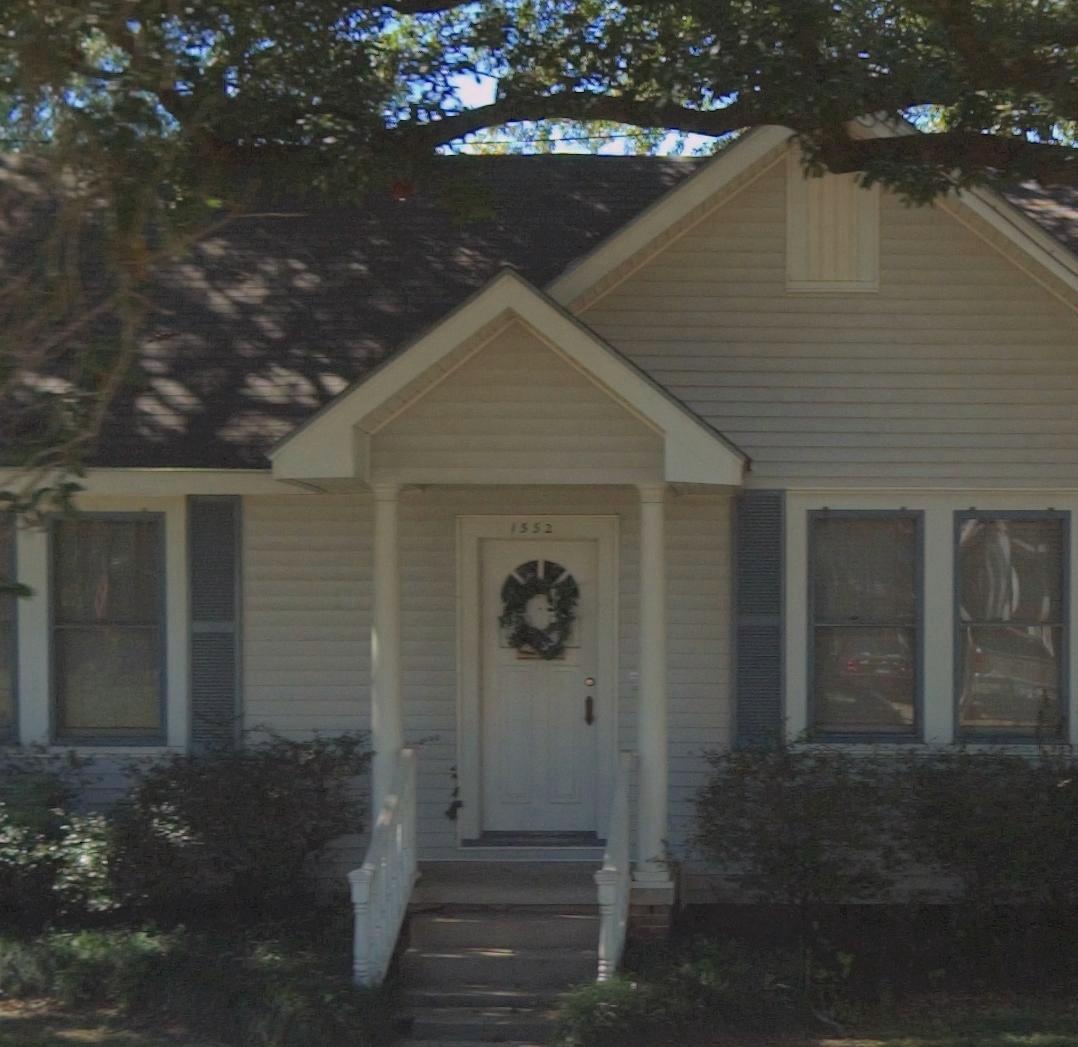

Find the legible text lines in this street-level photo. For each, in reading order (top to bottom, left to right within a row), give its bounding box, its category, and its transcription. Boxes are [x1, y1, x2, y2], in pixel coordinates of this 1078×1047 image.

[509, 520, 555, 535] StreetNumber: 1552